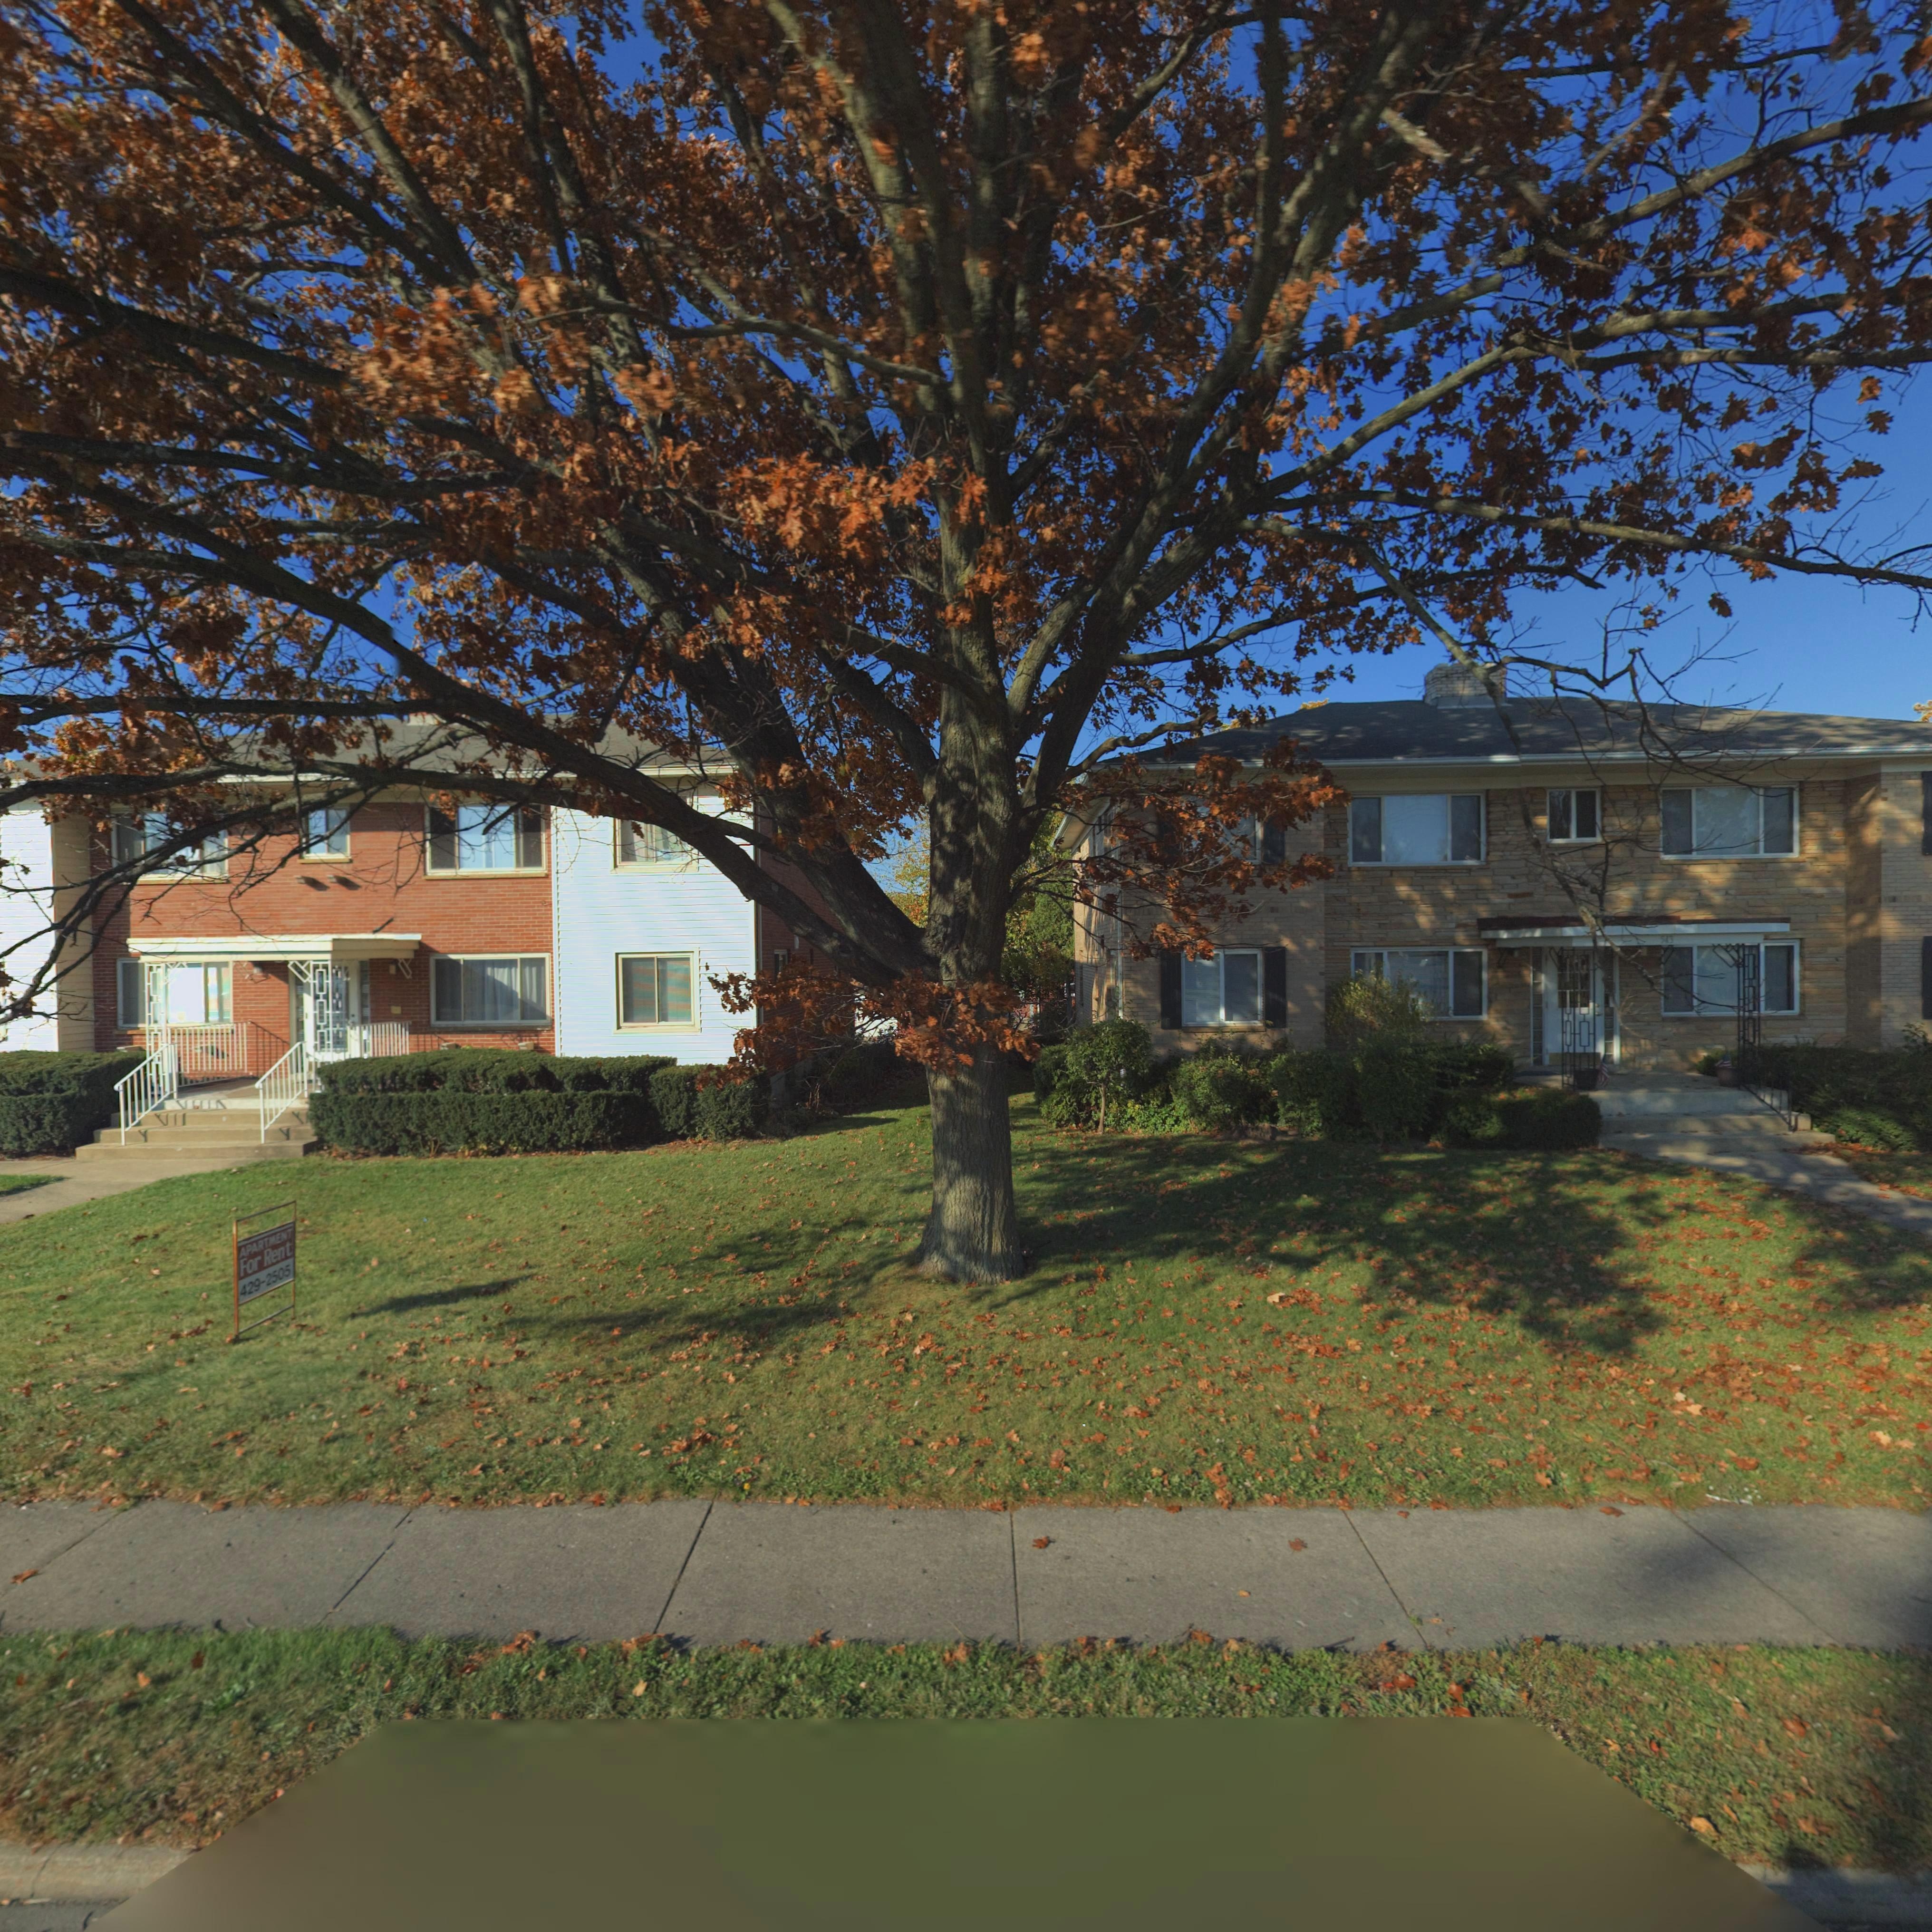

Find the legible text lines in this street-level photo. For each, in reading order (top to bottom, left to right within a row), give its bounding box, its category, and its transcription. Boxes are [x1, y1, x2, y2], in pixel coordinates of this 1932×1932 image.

[1660, 935, 1674, 945] StreetNumber: 543